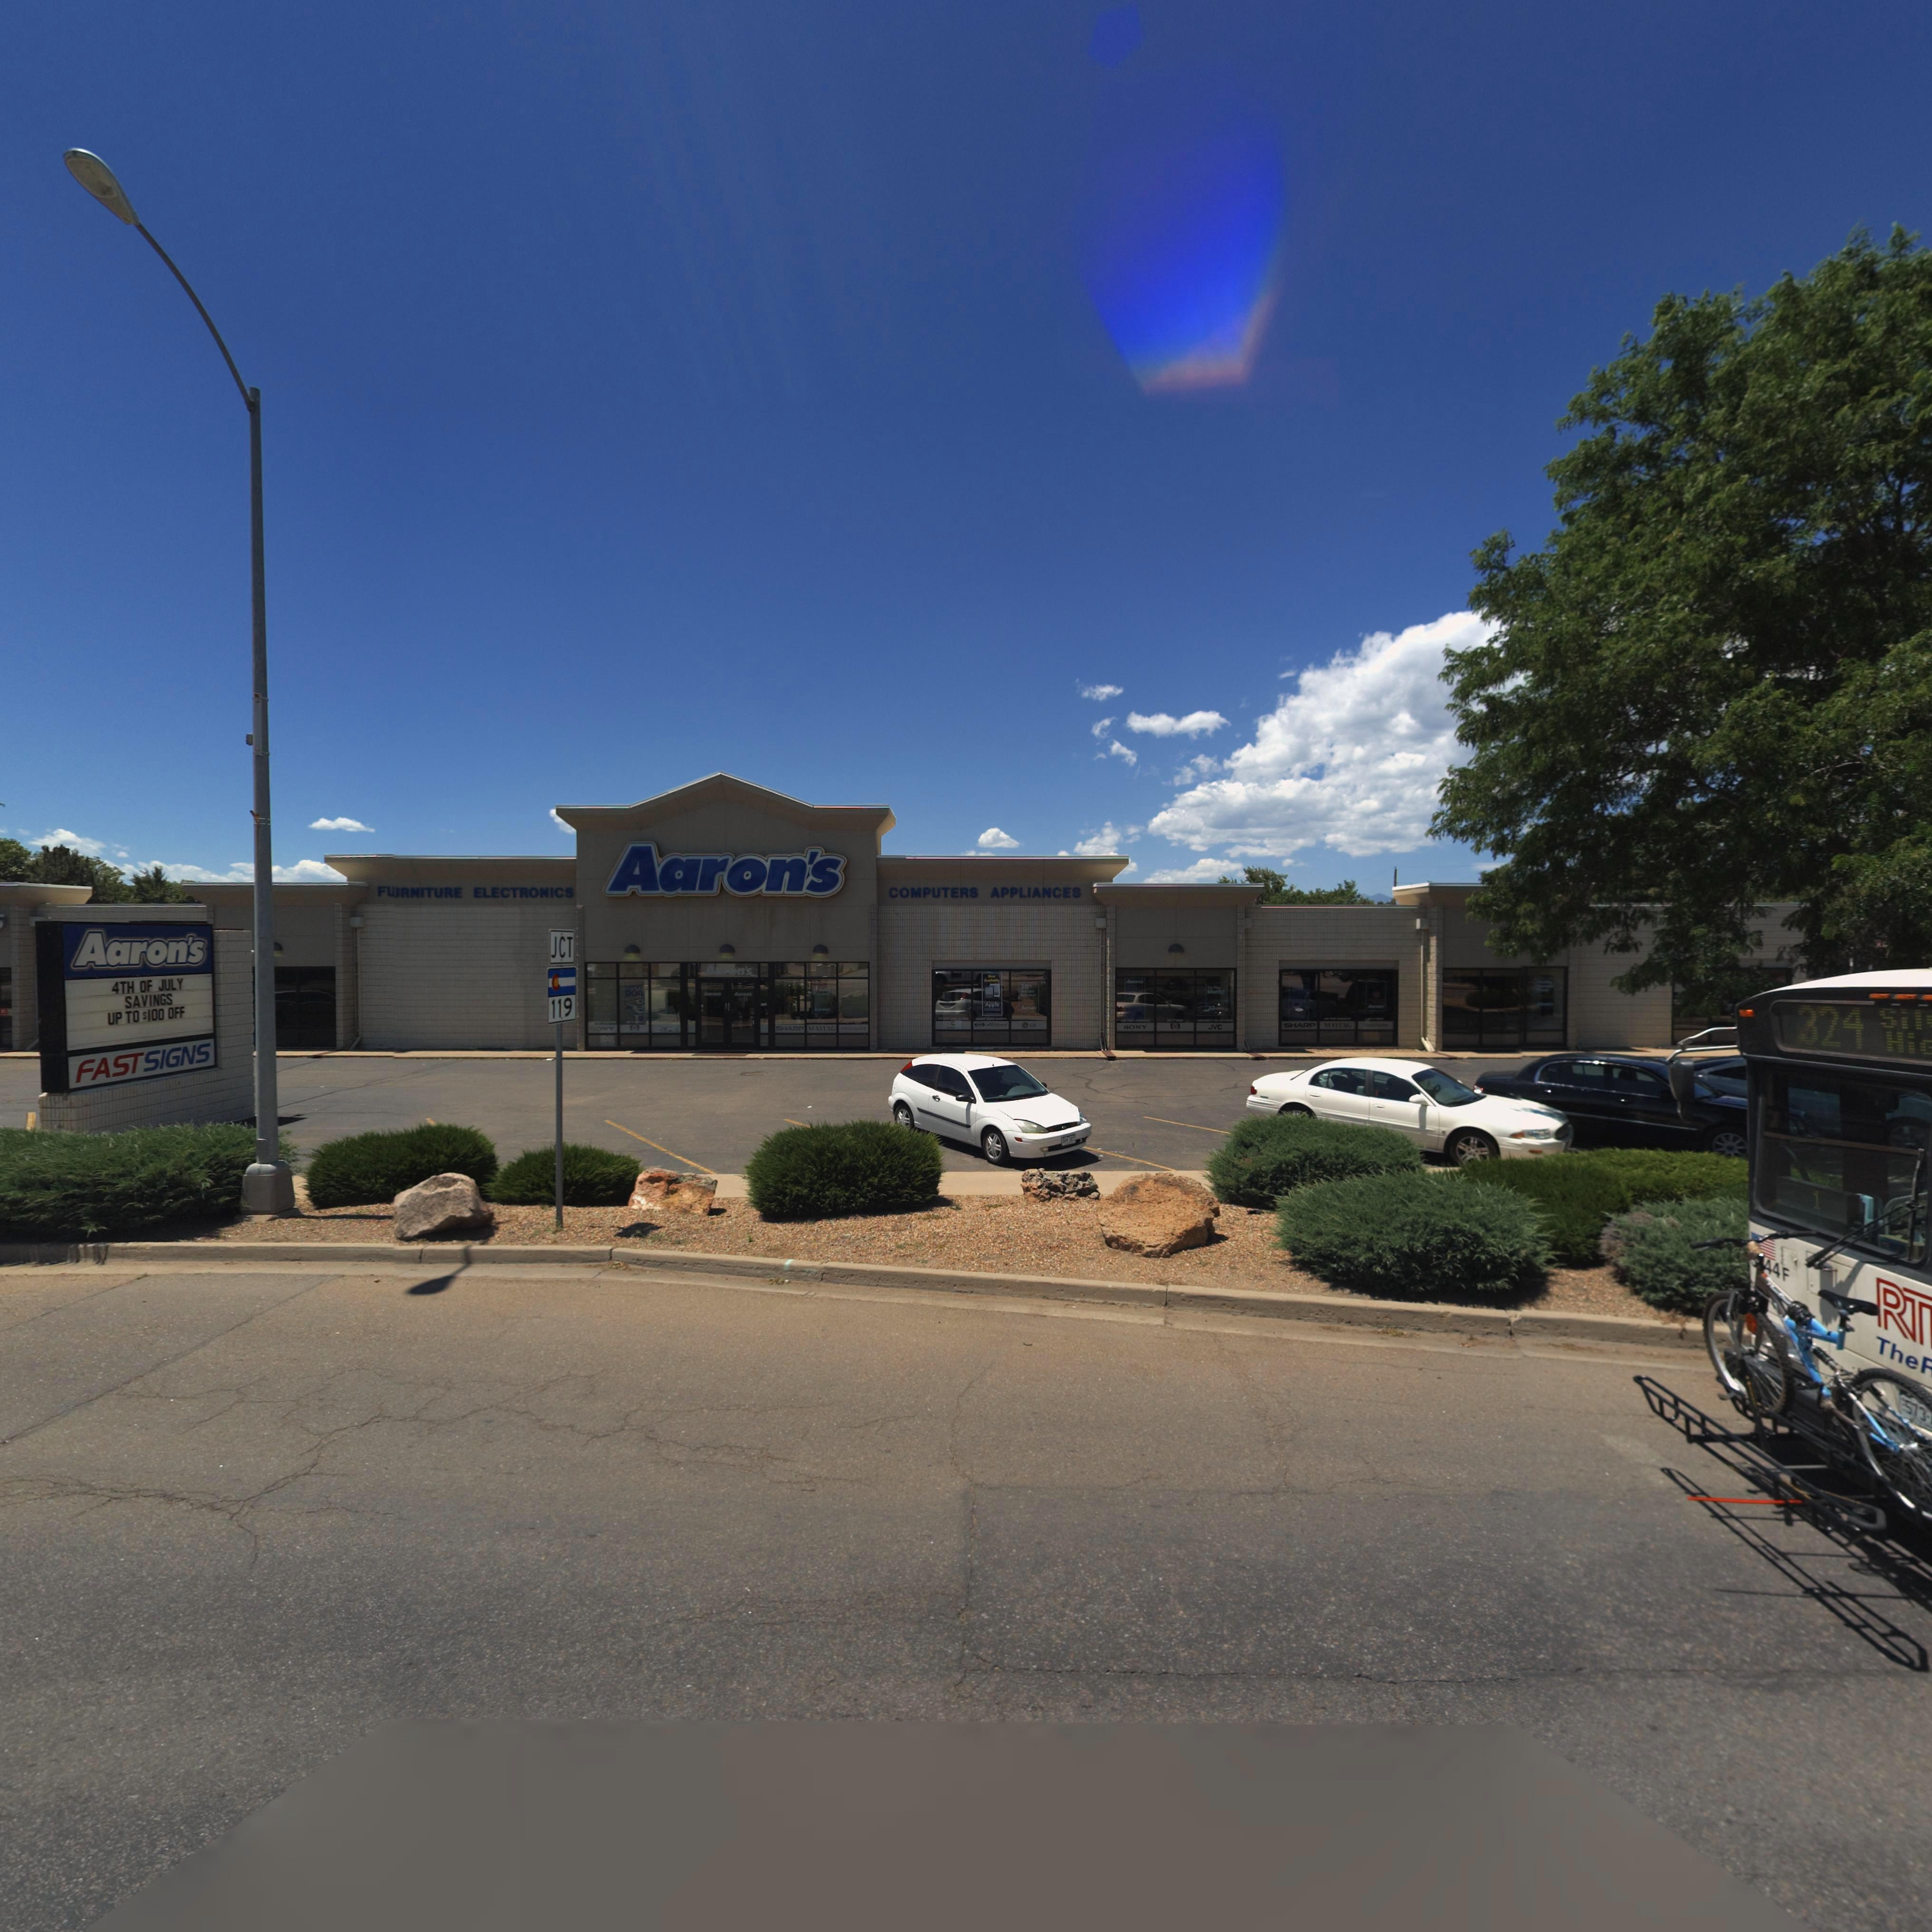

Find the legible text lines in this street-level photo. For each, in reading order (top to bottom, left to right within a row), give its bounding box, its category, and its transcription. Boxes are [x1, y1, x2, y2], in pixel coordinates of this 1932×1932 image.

[602, 842, 848, 897] BusinessName: Aaron's
[70, 929, 207, 969] BusinessName: Aaron's
[704, 965, 753, 976] BusinessName: Aaron's
[74, 1042, 211, 1084] BusinessName: FASTSIGNS